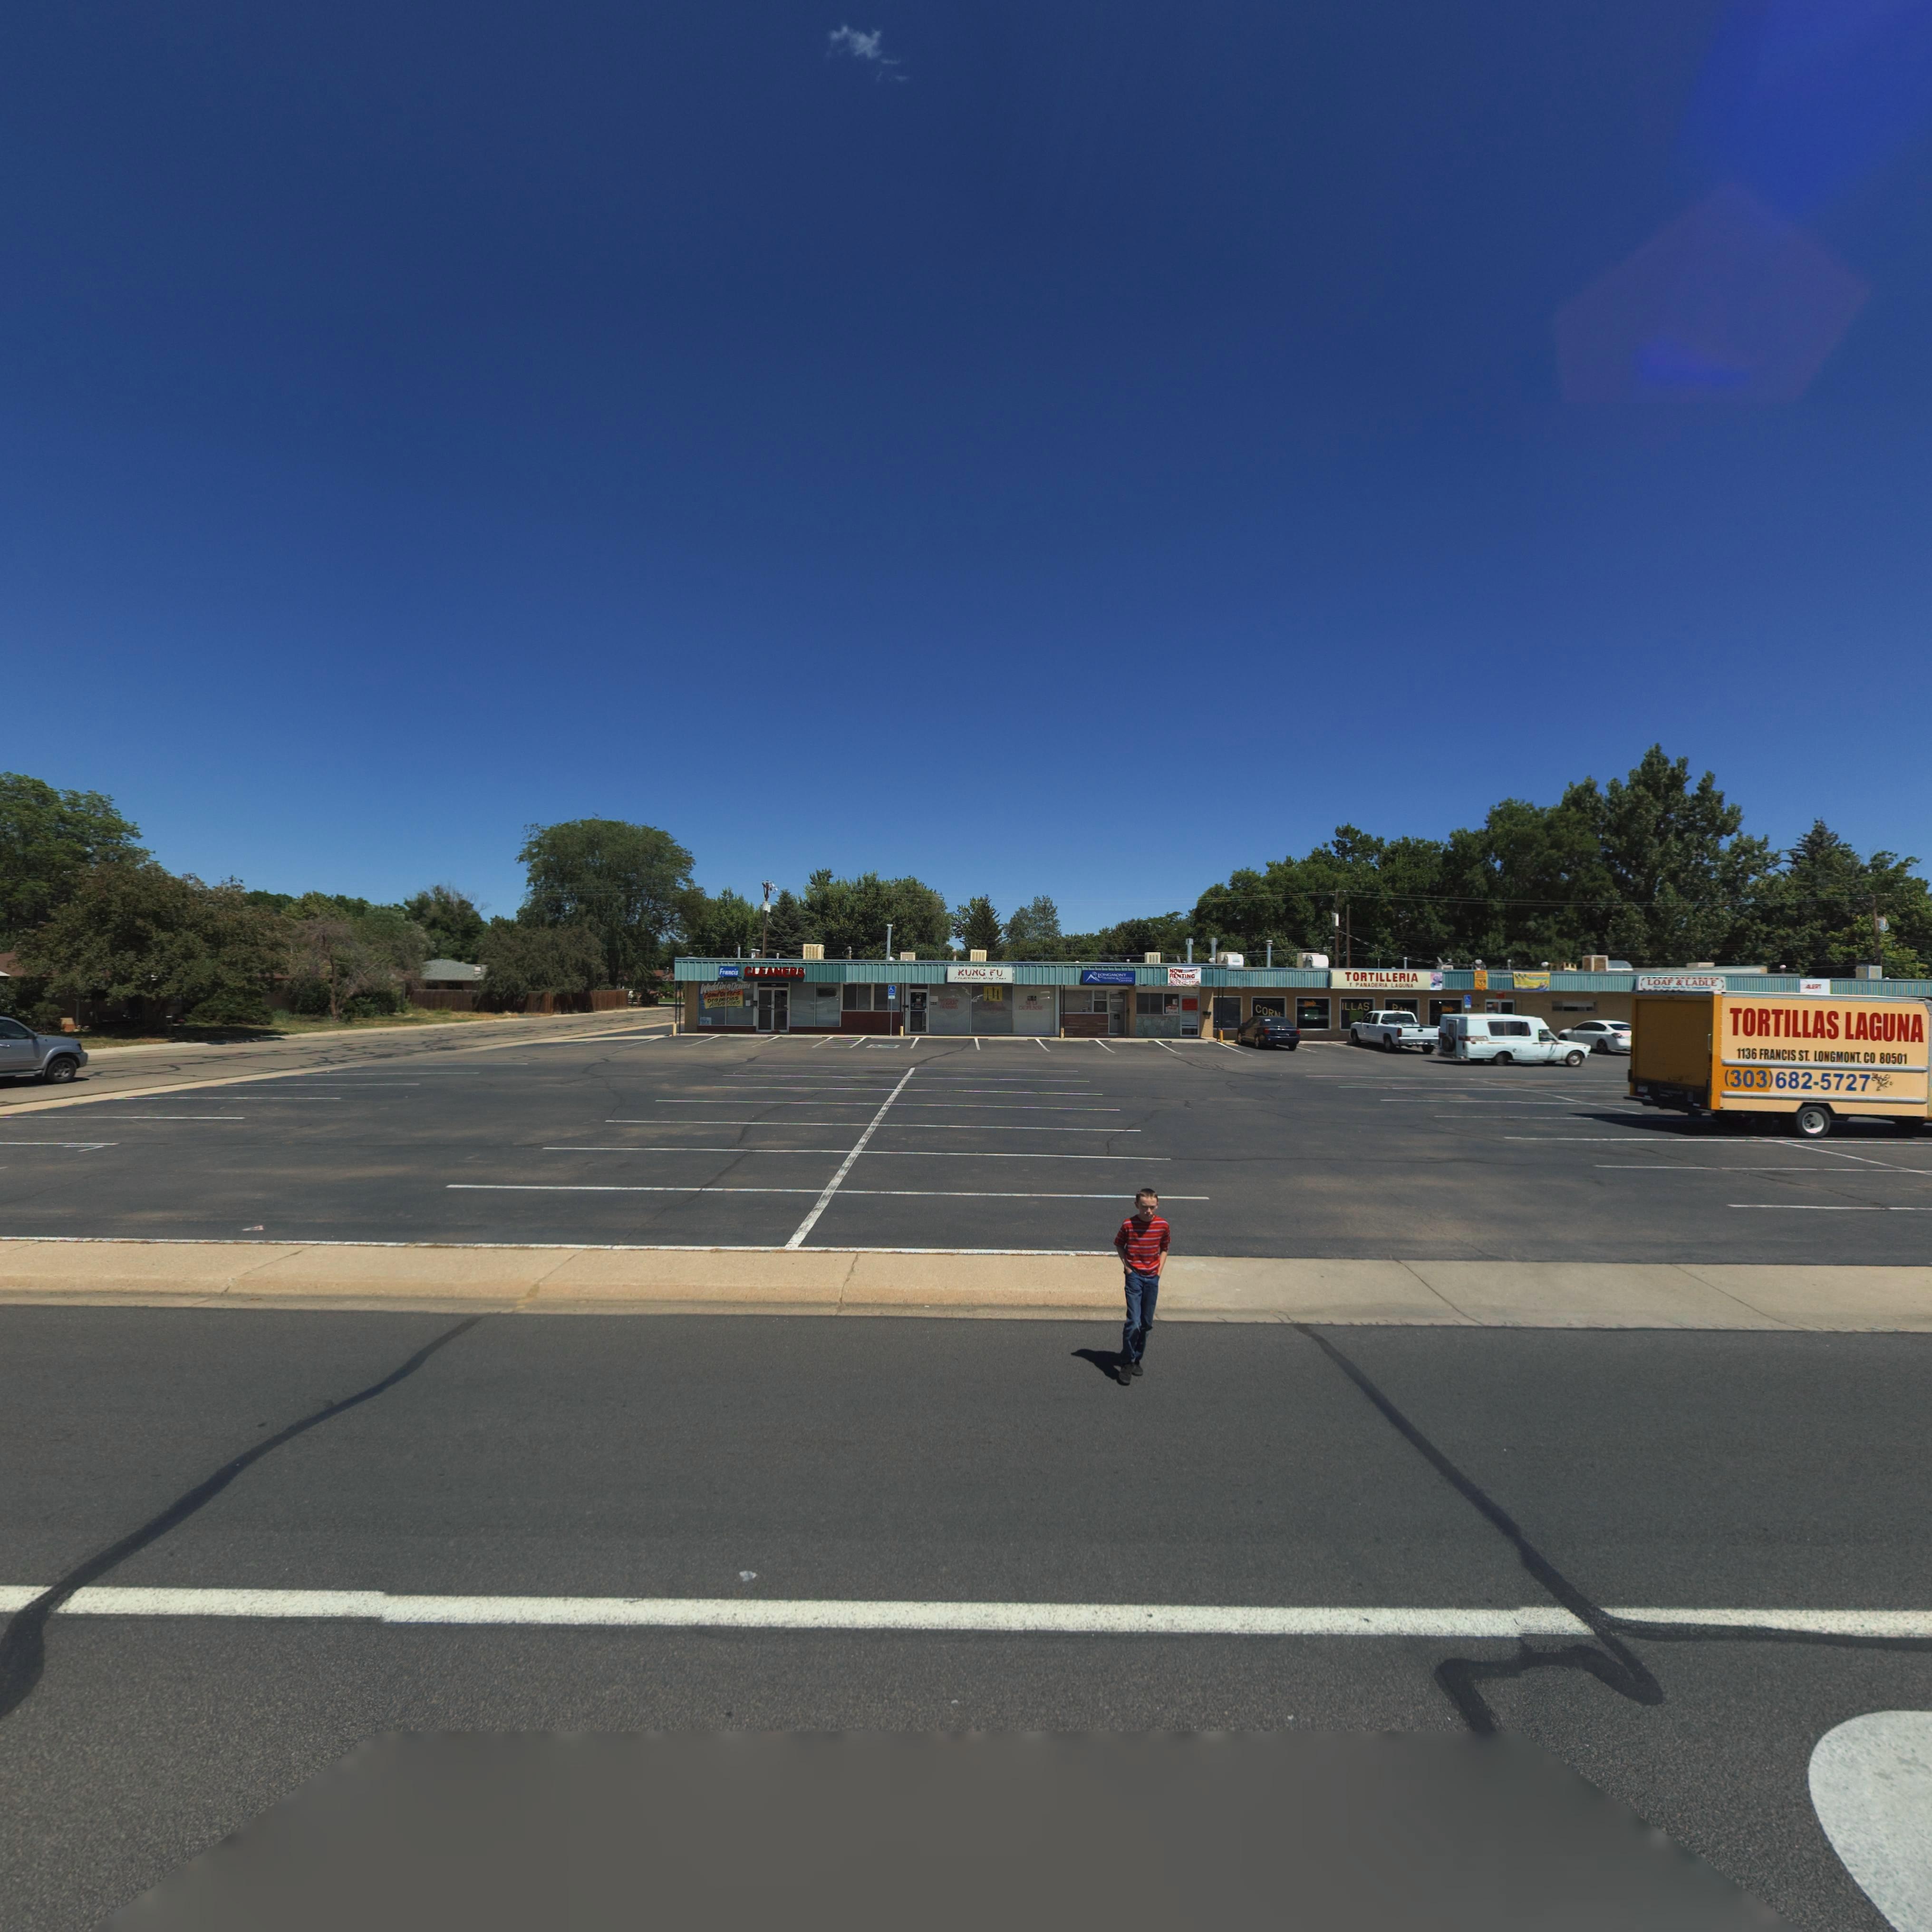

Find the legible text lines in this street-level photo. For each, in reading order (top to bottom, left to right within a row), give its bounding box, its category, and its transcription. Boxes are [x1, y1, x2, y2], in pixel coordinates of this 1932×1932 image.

[719, 967, 739, 975] BusinessName: Francis
[744, 966, 805, 978] BusinessName: CLEANERS
[957, 968, 1003, 976] BusinessName: KUNG FU
[1344, 971, 1419, 983] BusinessName: TORTILLERIA
[1349, 982, 1414, 988] BusinessName: * PANADERIA LAGUNA
[1647, 978, 1719, 986] BusinessName: LOAF * LADLE
[1804, 983, 1822, 989] BusinessName: ALERT